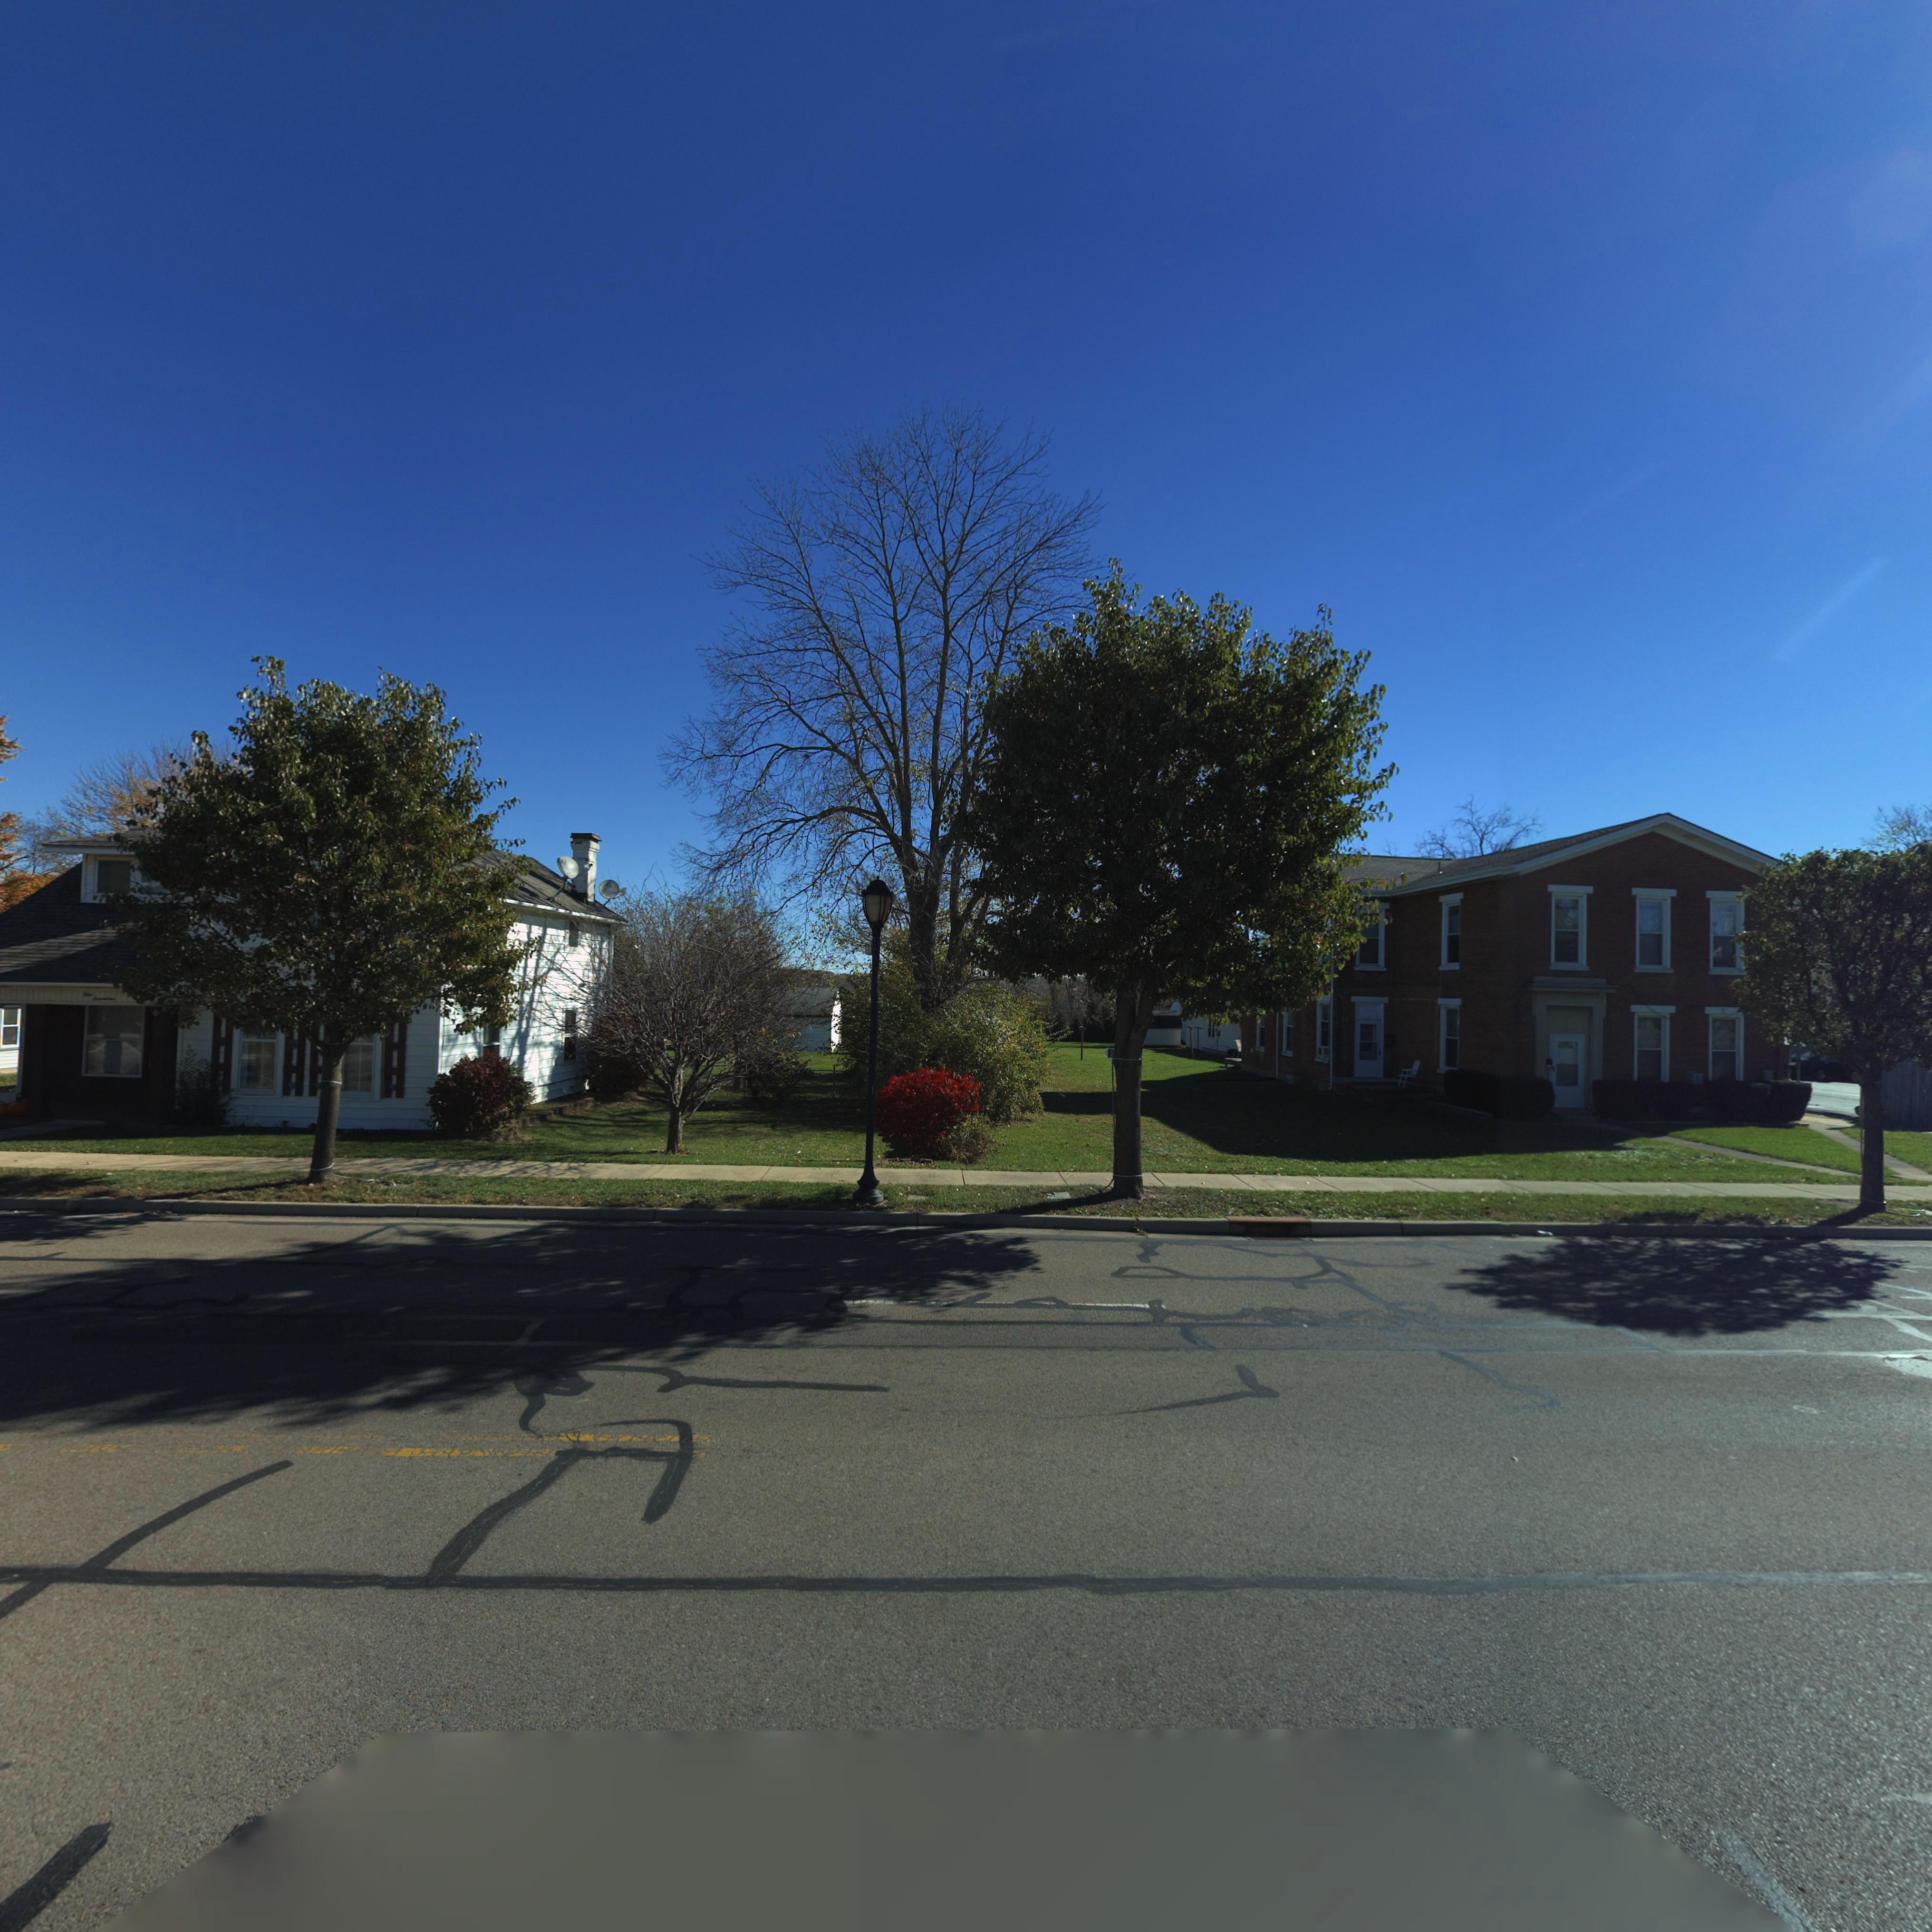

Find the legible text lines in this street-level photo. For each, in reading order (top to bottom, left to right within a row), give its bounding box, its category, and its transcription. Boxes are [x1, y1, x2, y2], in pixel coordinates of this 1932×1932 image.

[82, 991, 93, 997] StreetNumber: One